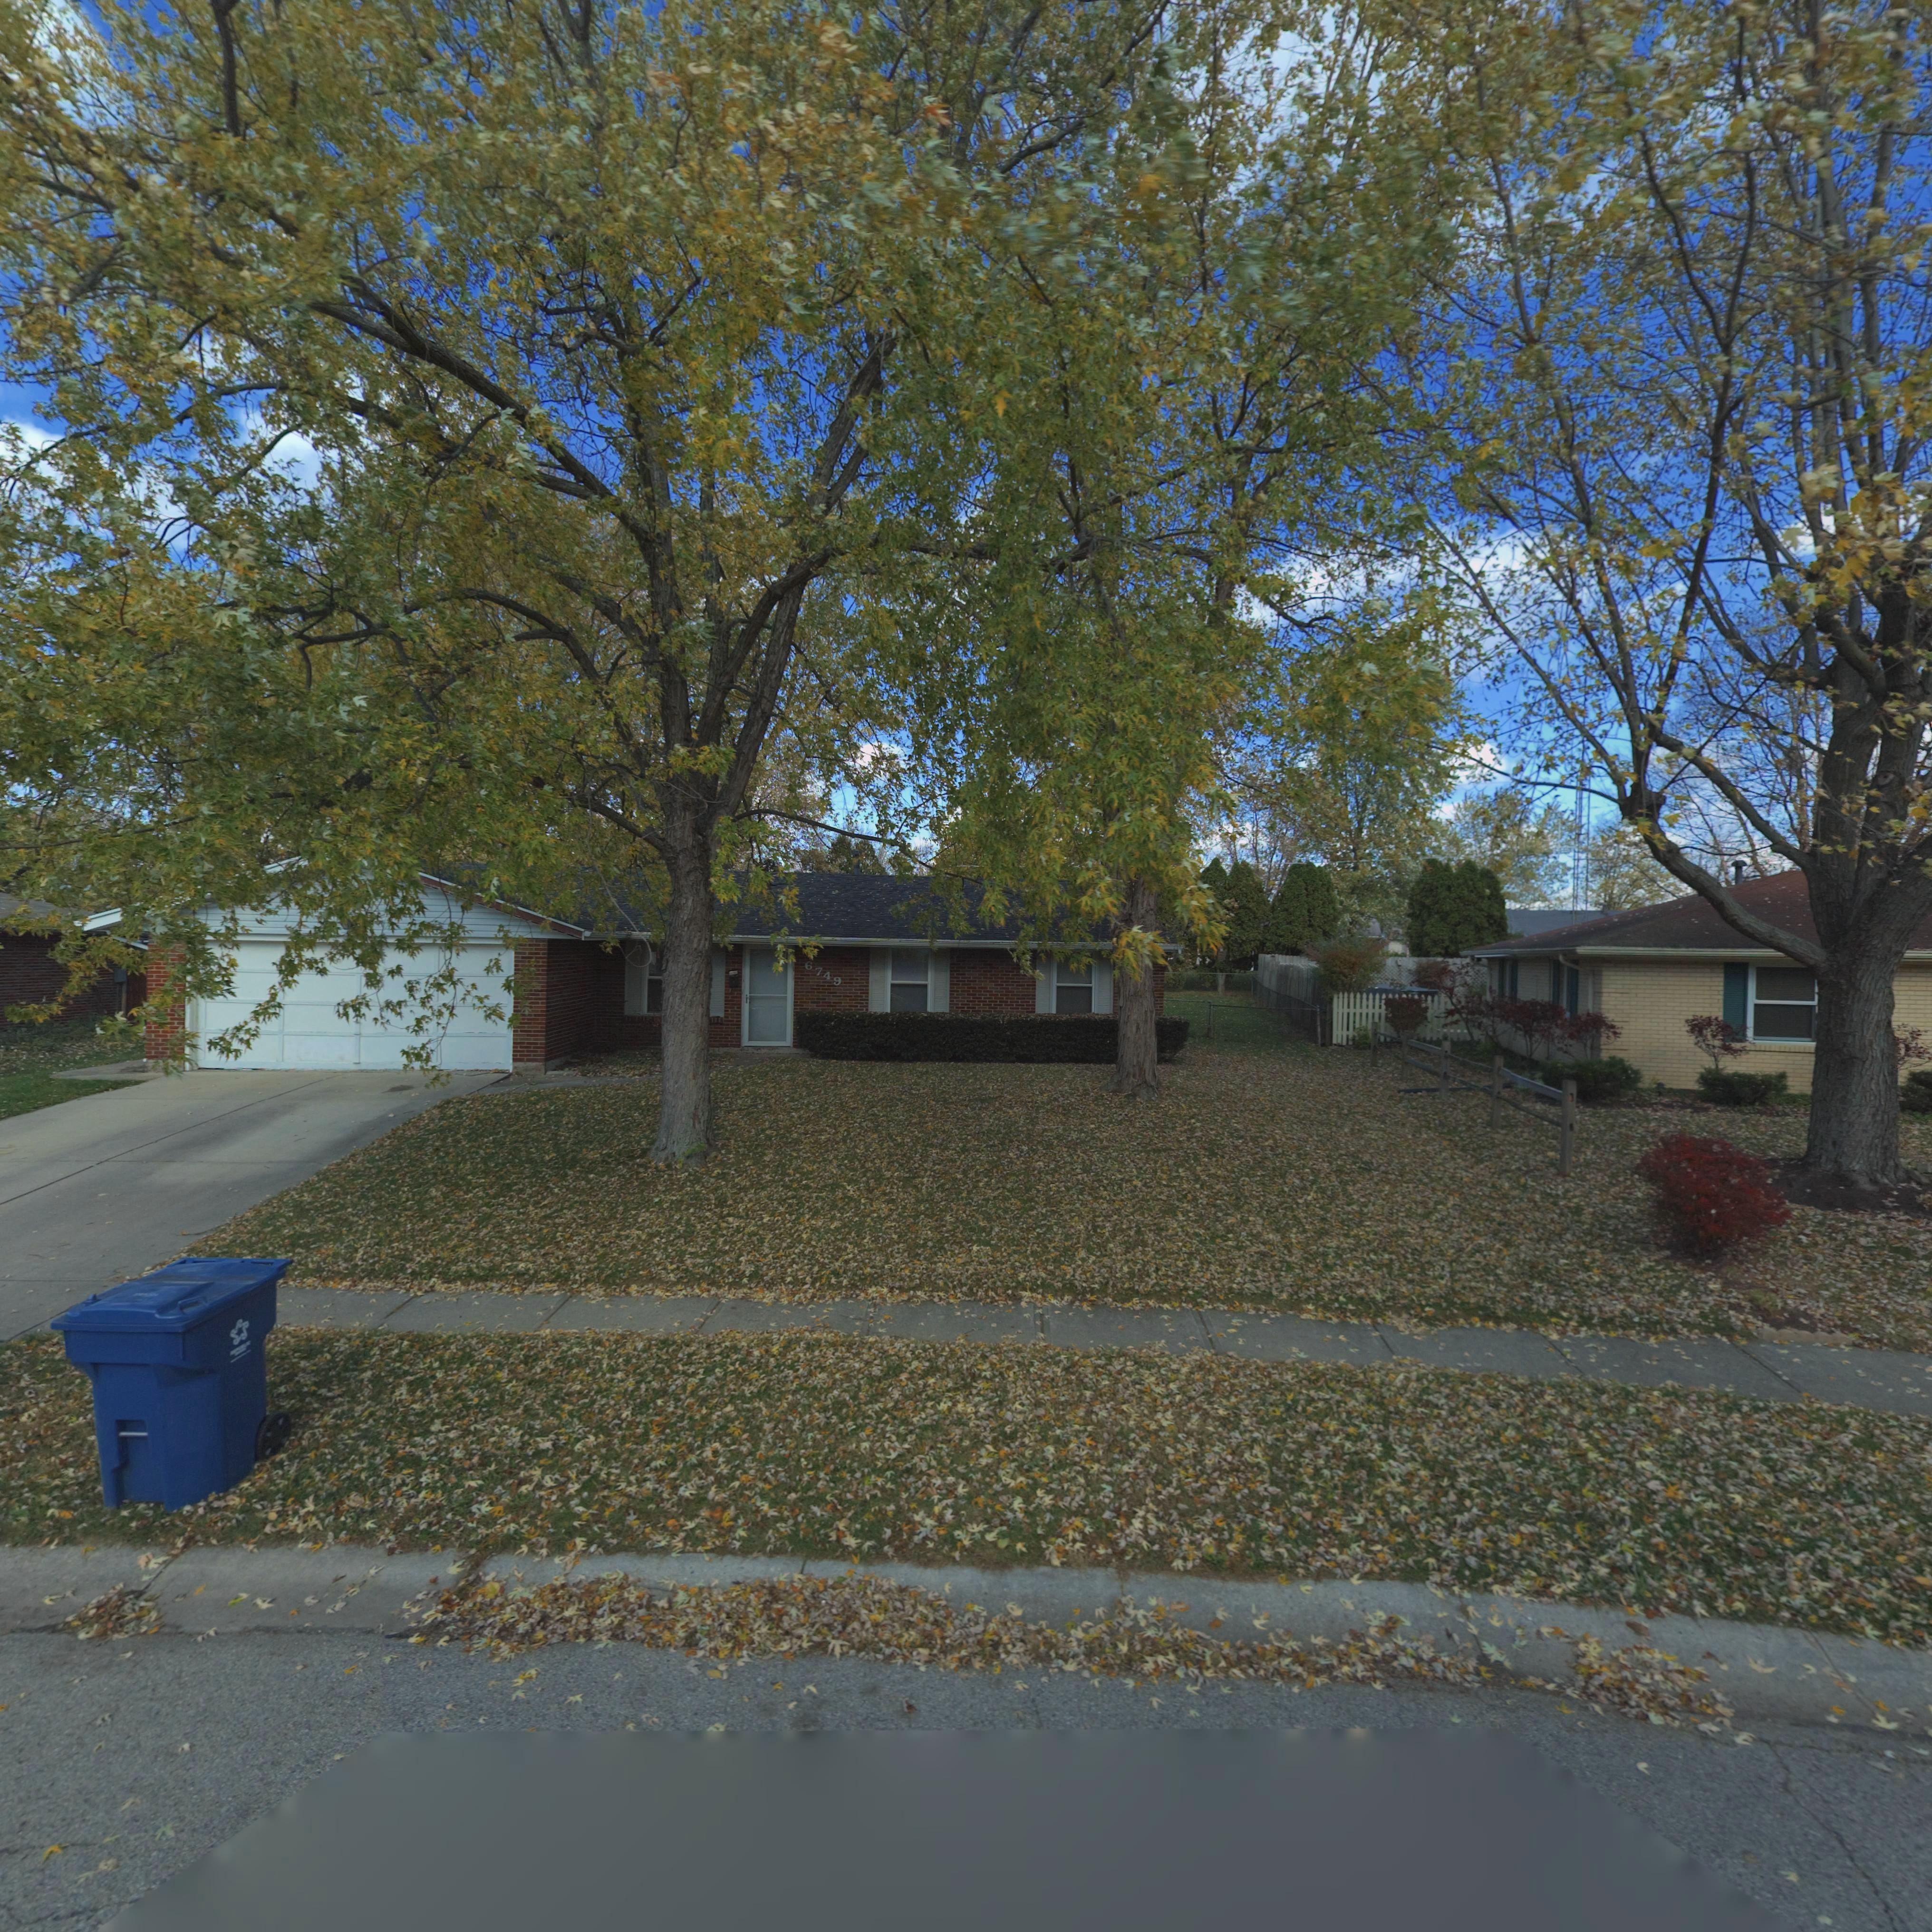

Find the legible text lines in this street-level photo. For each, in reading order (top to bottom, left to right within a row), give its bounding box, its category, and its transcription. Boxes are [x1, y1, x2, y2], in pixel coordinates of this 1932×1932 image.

[804, 960, 842, 986] StreetNumber: 6749